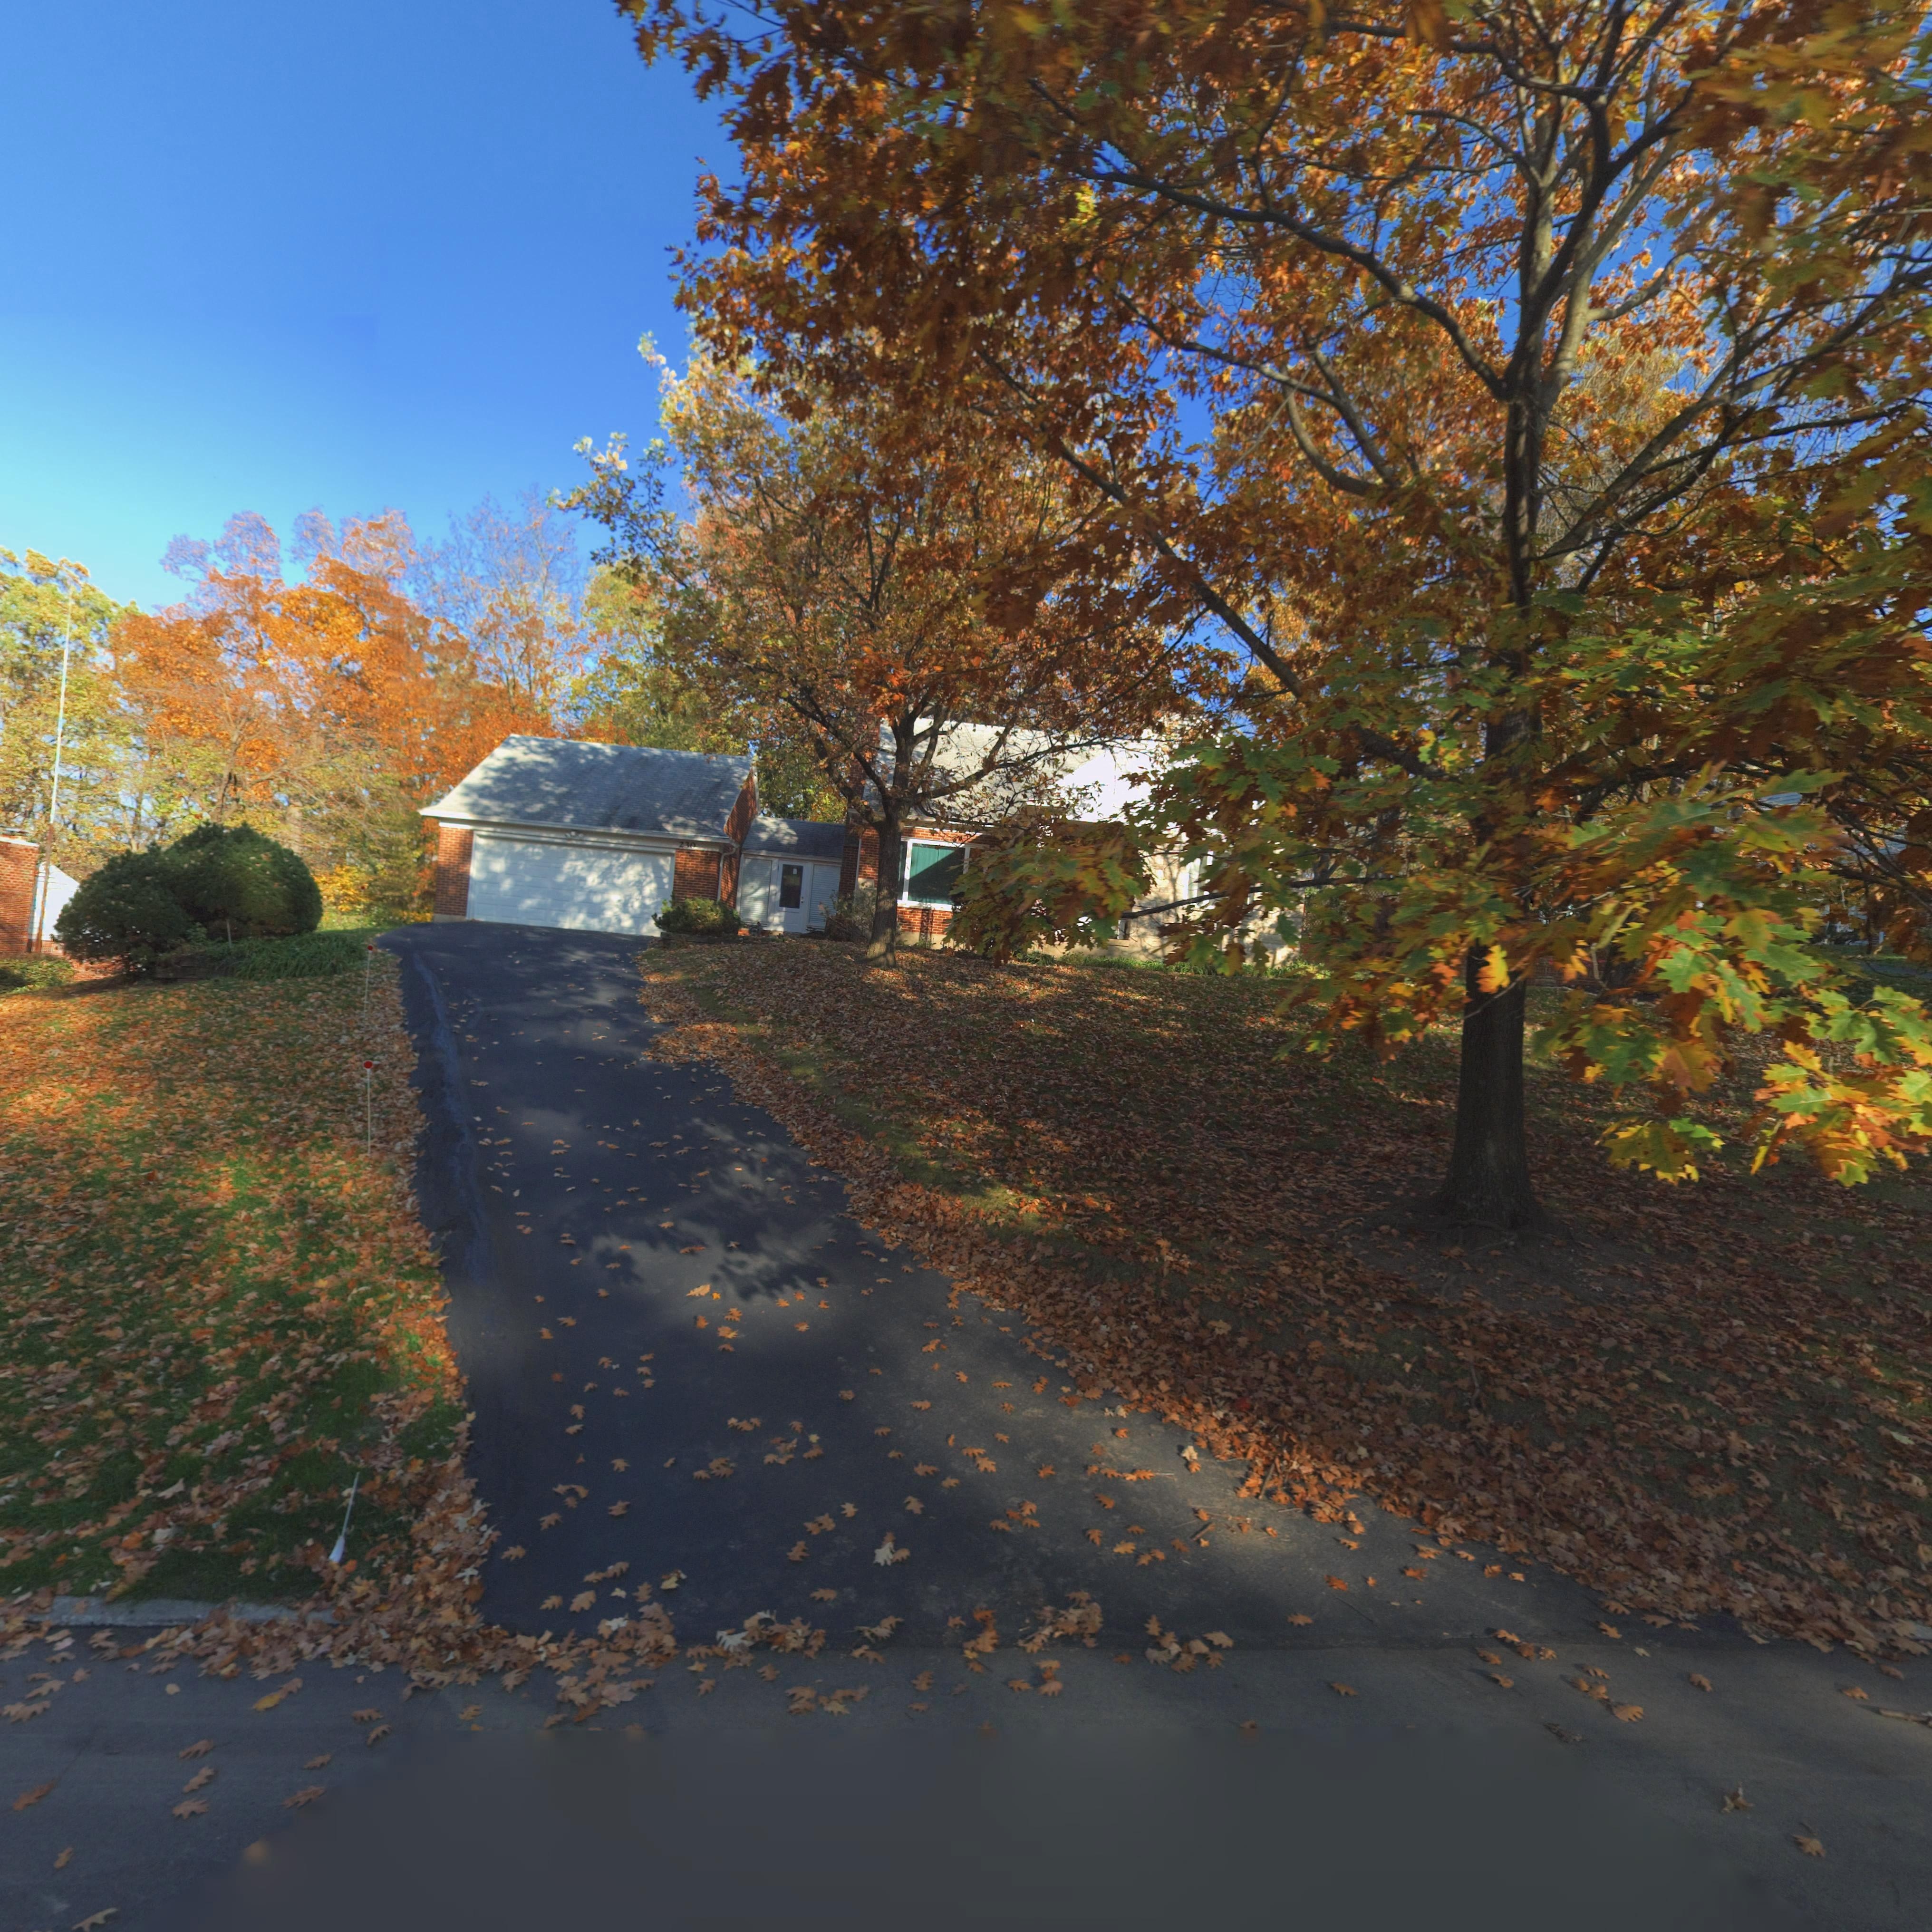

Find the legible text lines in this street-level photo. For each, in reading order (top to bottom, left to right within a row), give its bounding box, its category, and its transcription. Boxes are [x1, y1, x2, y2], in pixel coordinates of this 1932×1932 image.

[677, 839, 697, 850] StreetNumber: 230